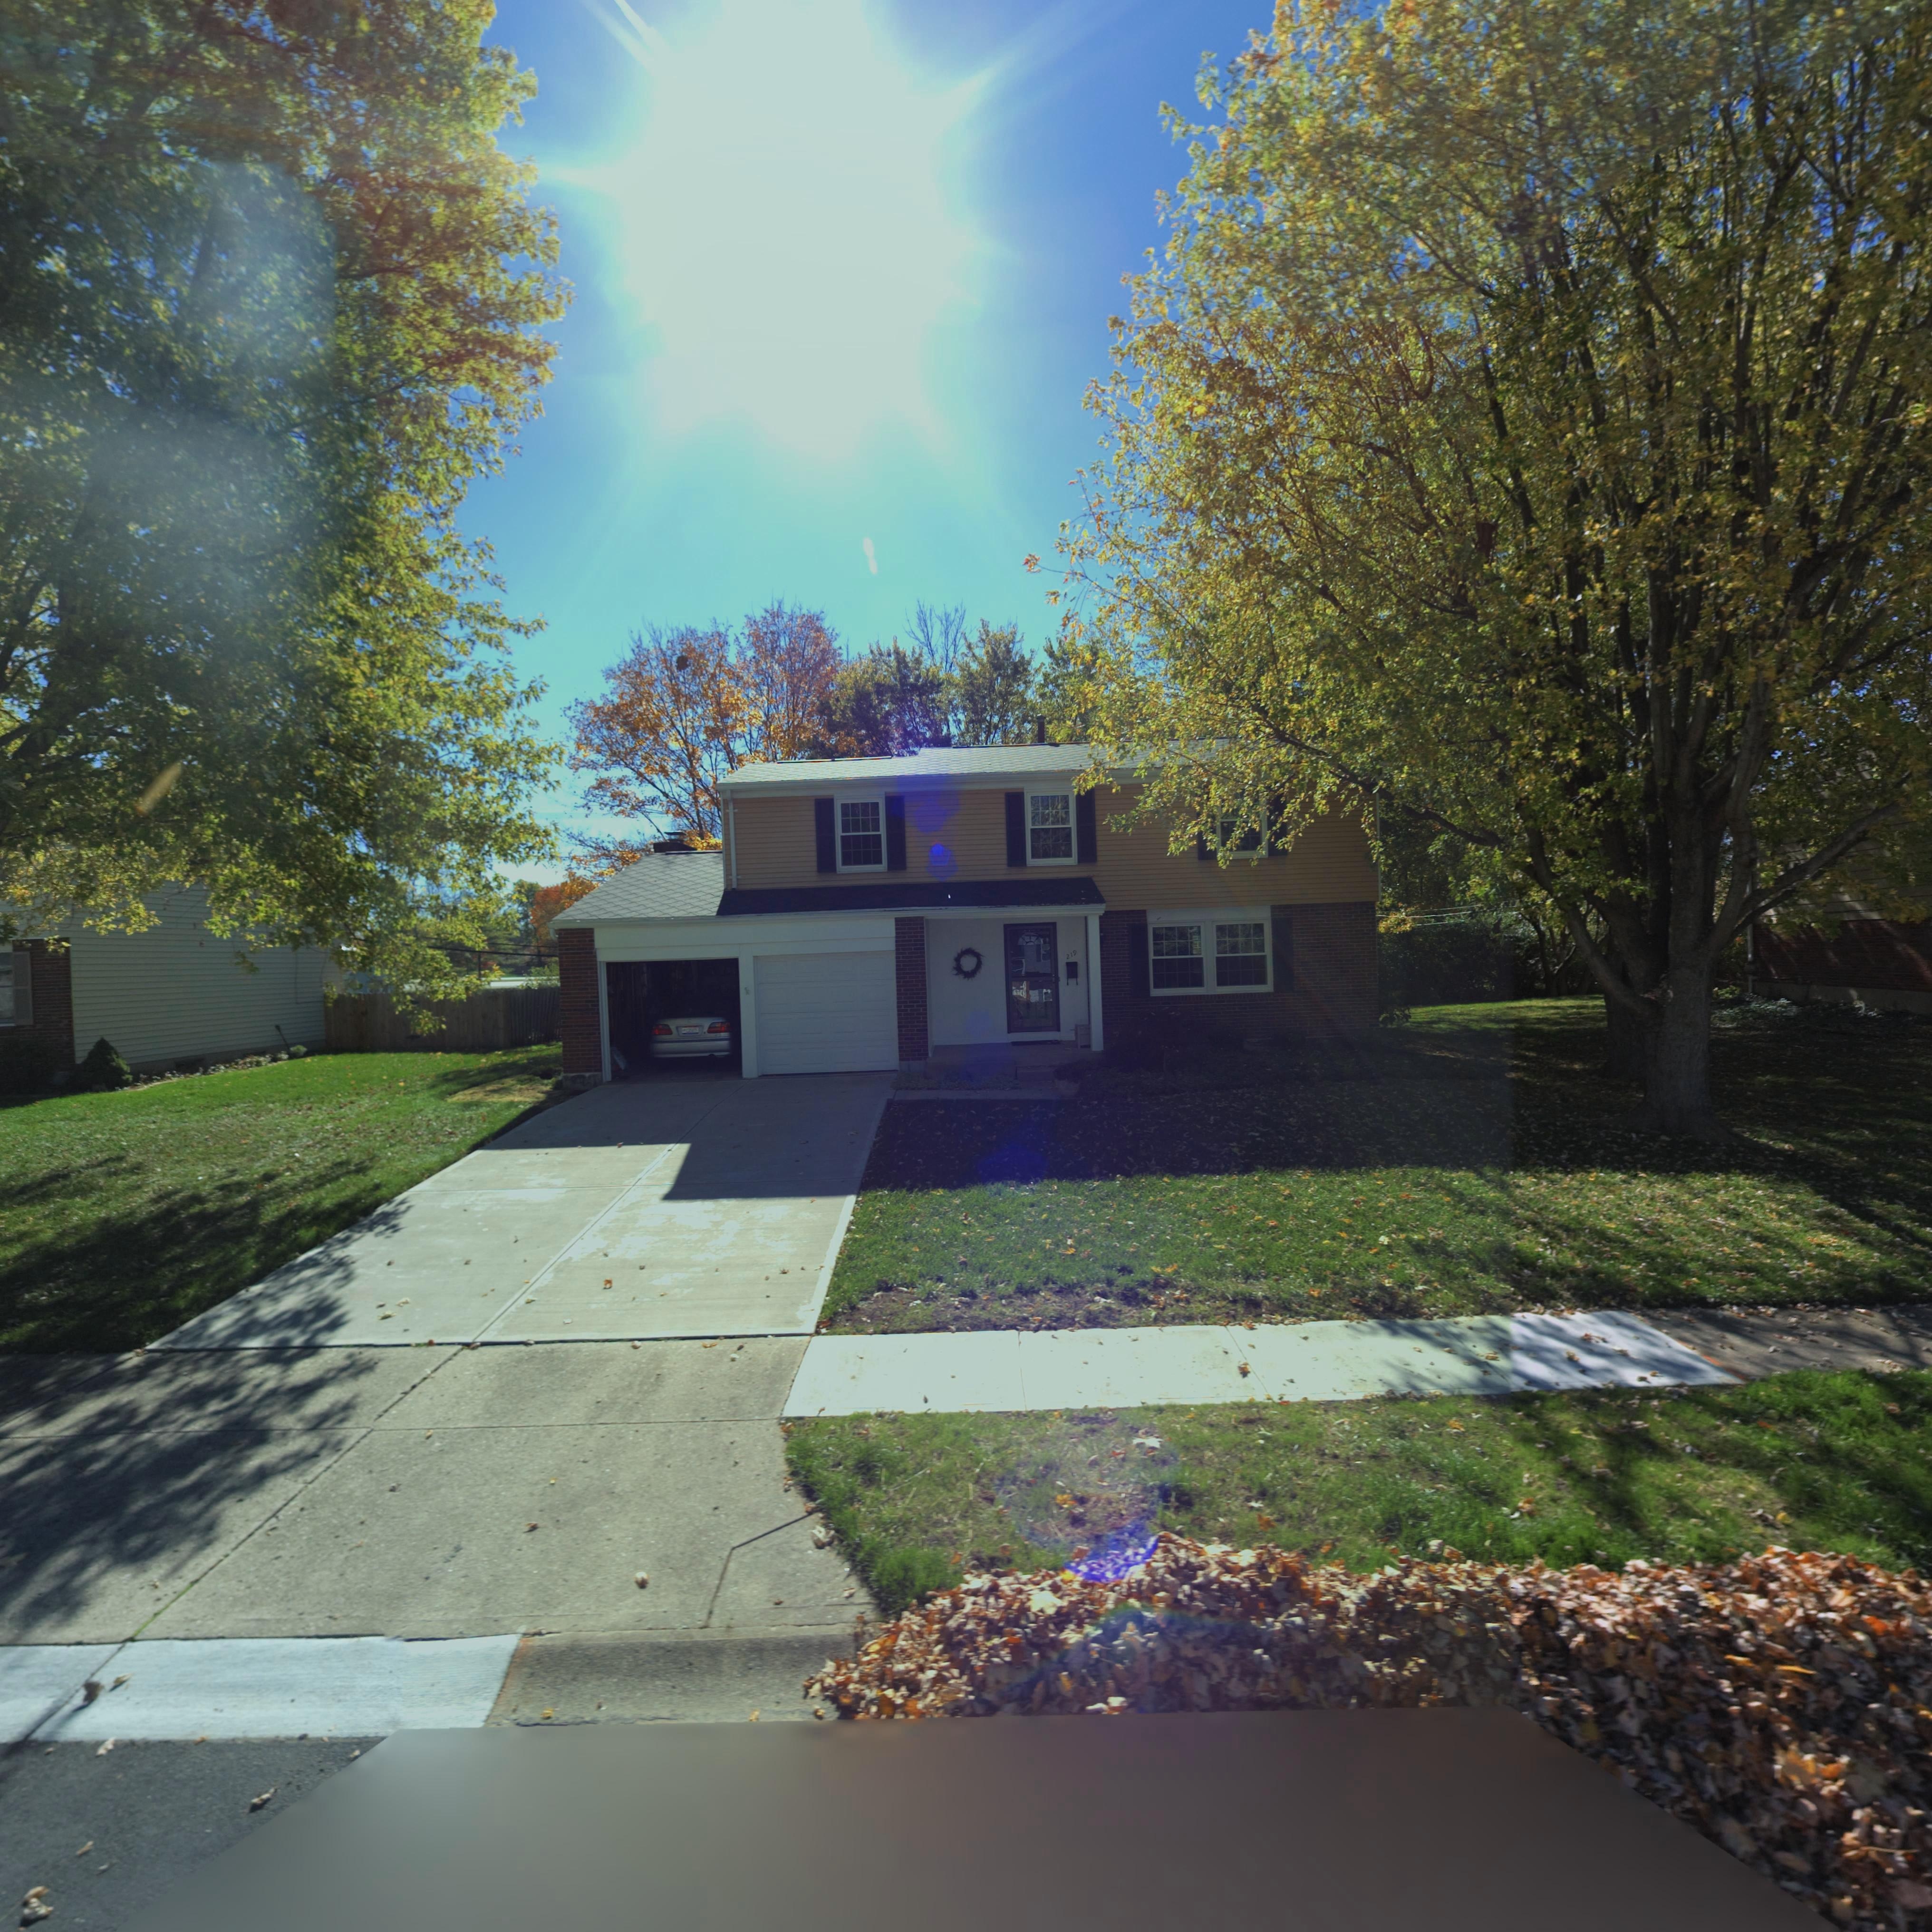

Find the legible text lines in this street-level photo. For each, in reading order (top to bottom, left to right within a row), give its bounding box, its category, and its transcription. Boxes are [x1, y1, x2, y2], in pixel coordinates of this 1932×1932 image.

[1065, 948, 1078, 960] StreetNumber: 219